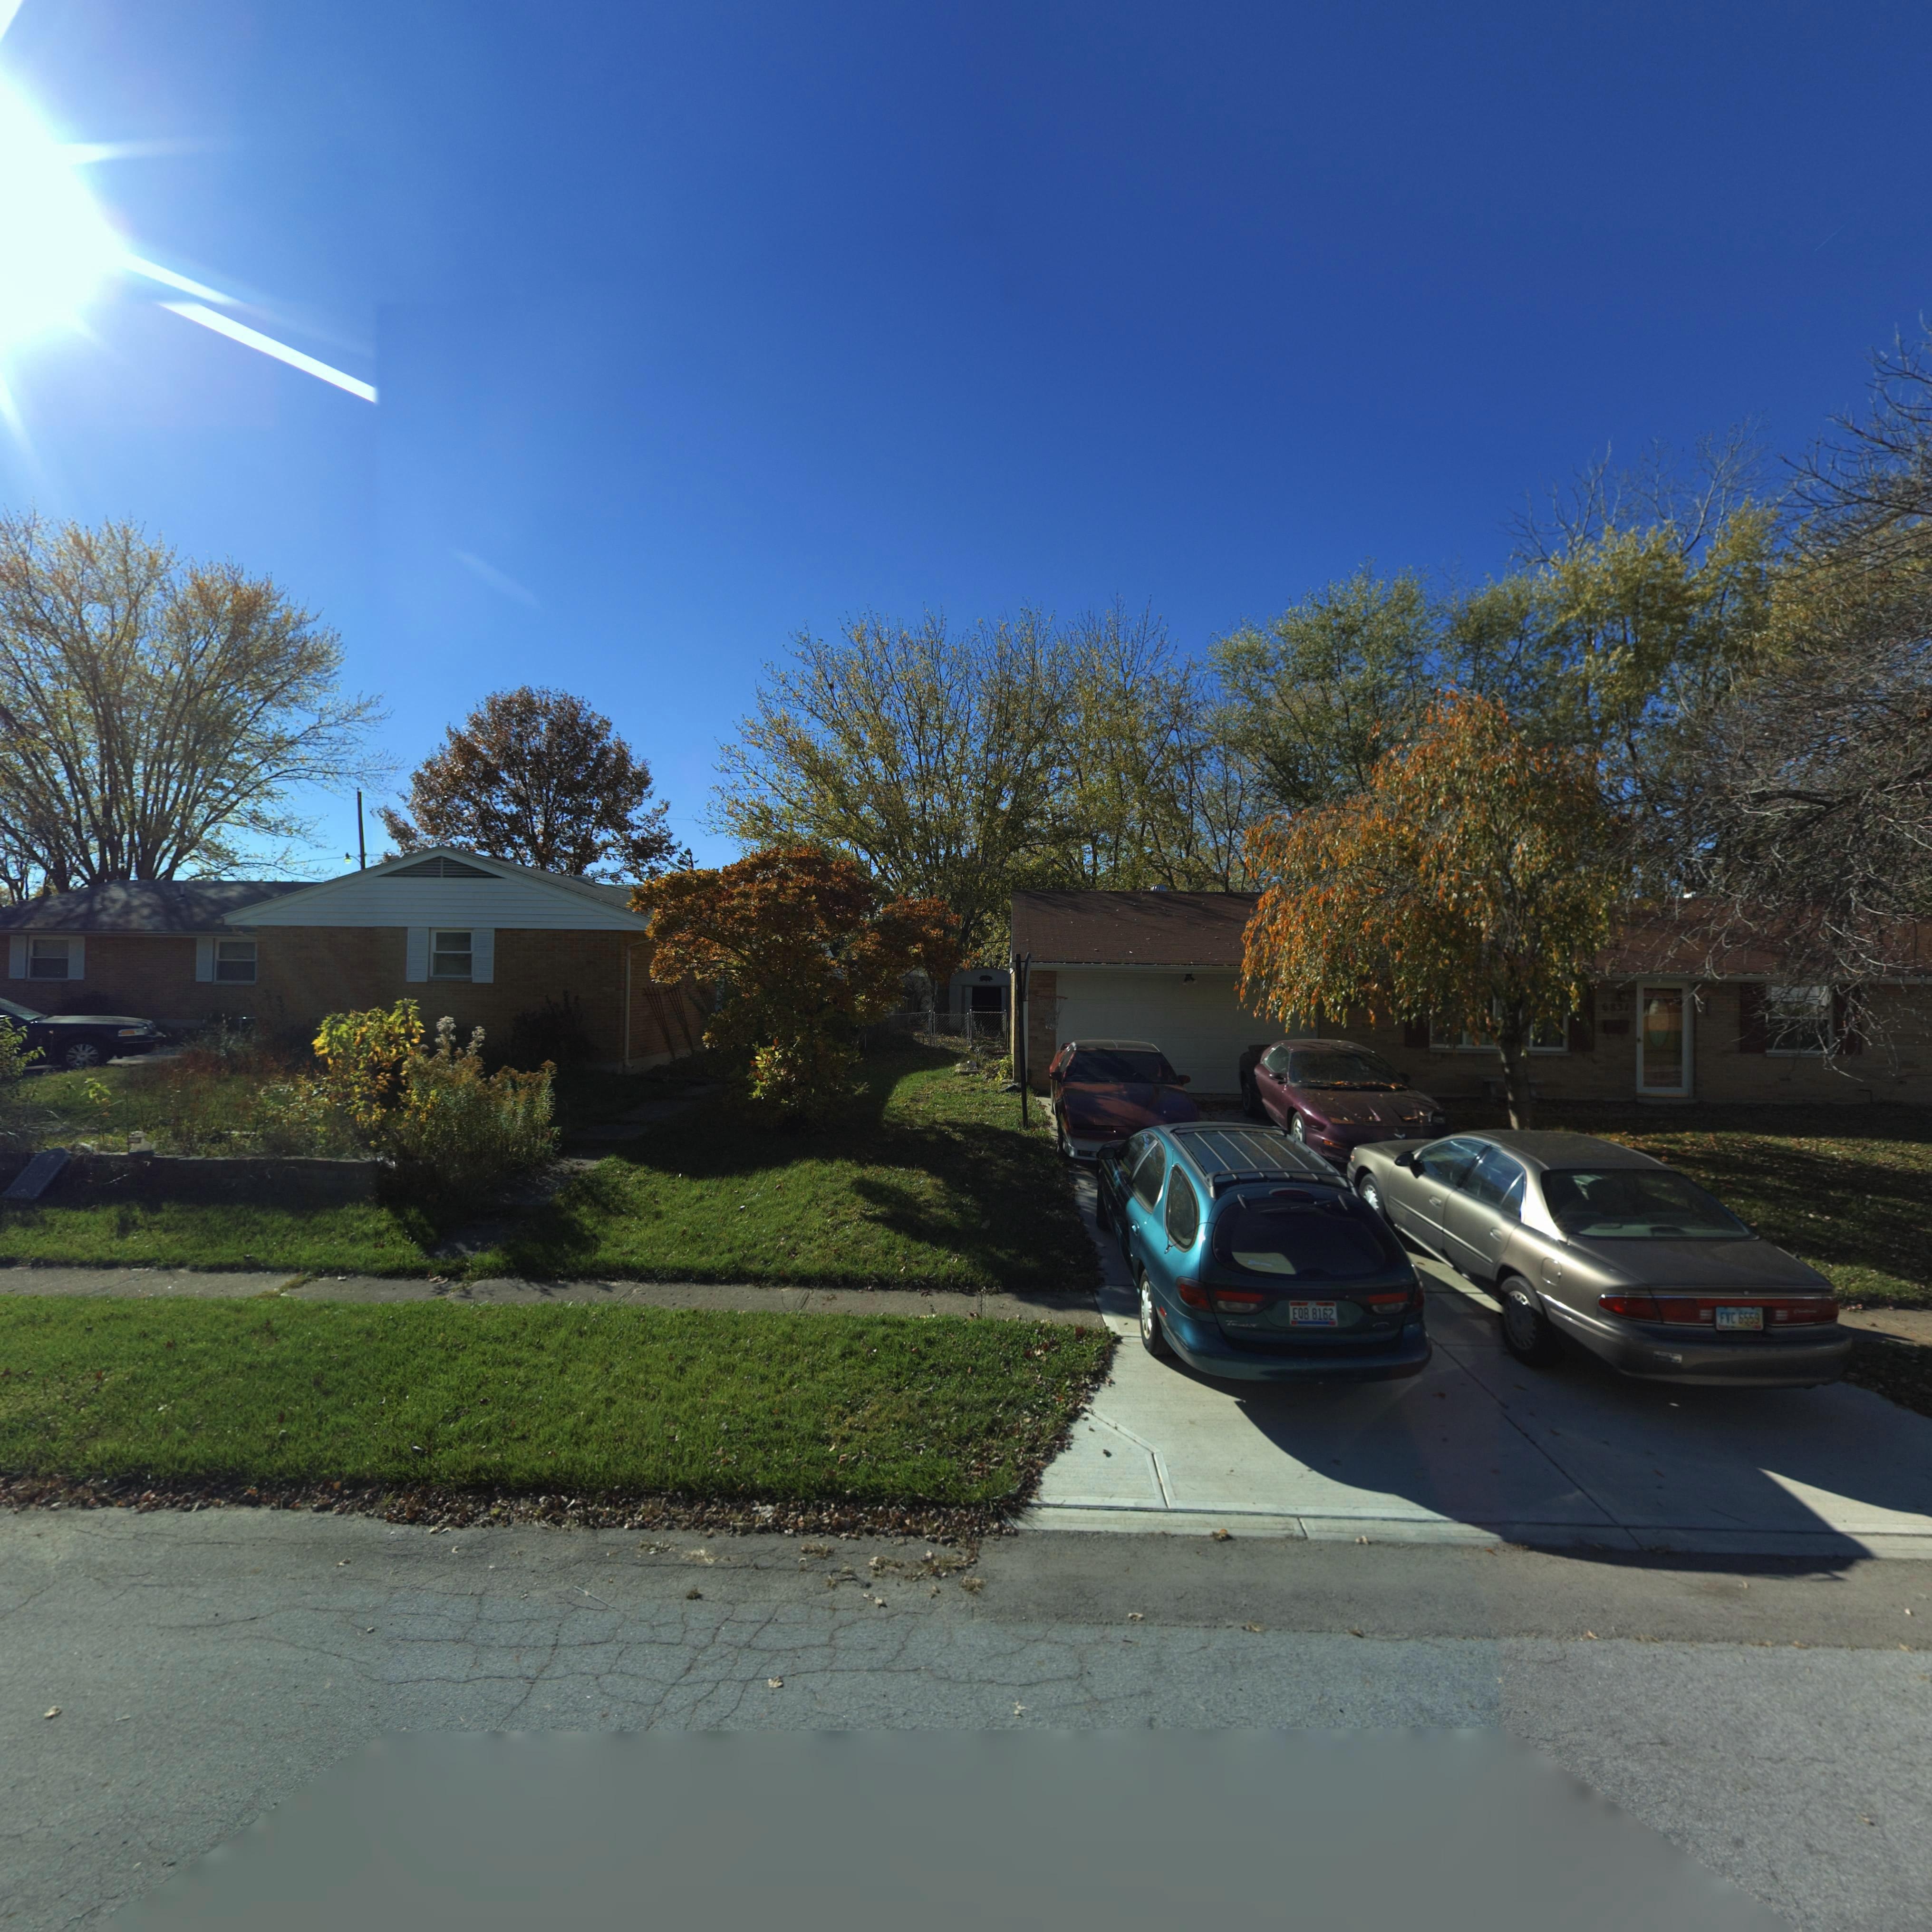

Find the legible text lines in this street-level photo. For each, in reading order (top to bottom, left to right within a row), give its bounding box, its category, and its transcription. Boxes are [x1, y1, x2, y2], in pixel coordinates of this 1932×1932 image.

[1601, 1002, 1630, 1012] StreetNumber: 6831